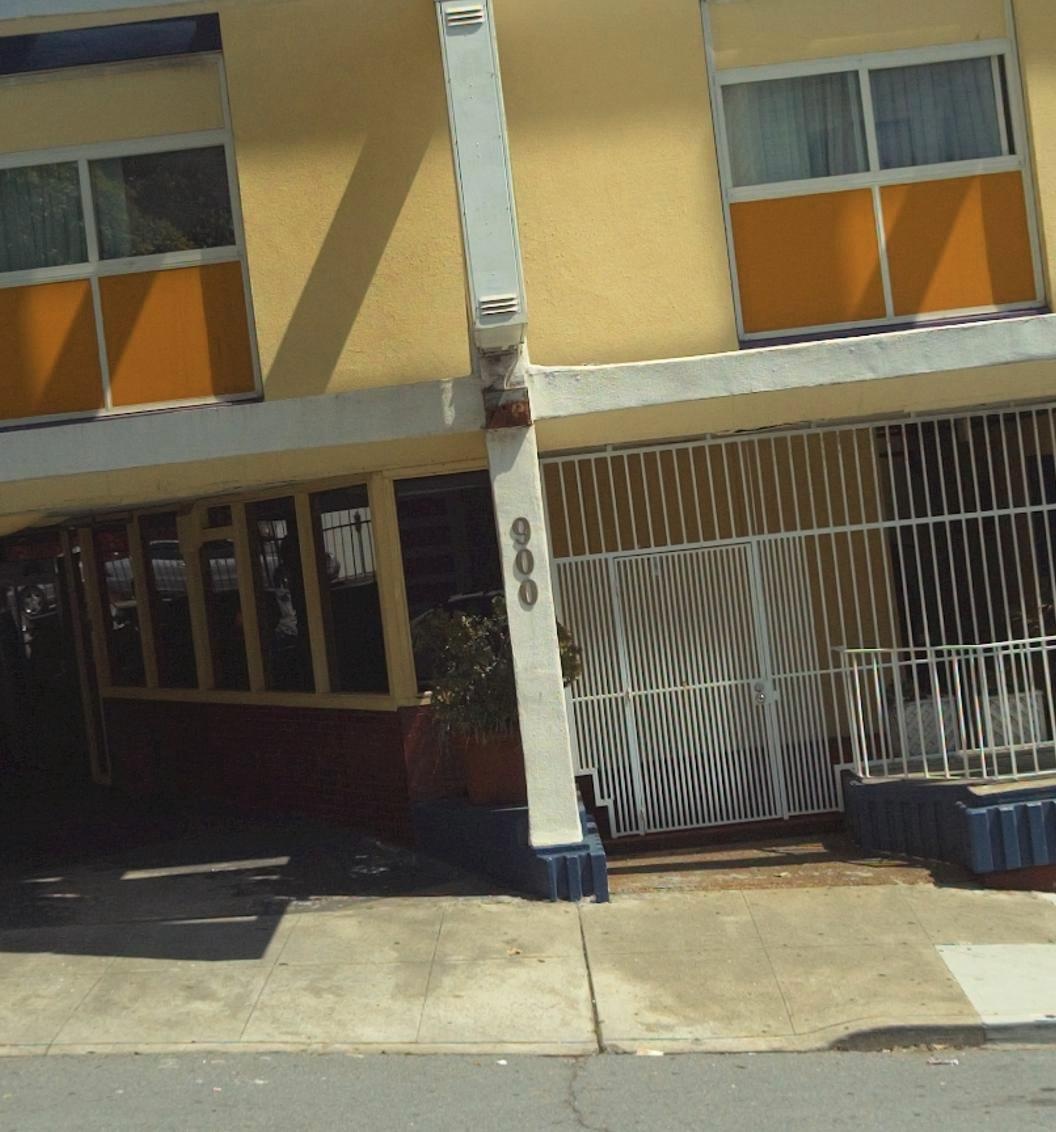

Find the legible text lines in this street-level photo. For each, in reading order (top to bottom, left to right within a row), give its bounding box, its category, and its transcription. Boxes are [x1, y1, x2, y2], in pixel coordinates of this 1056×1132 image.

[507, 513, 543, 609] StreetNumber: 900